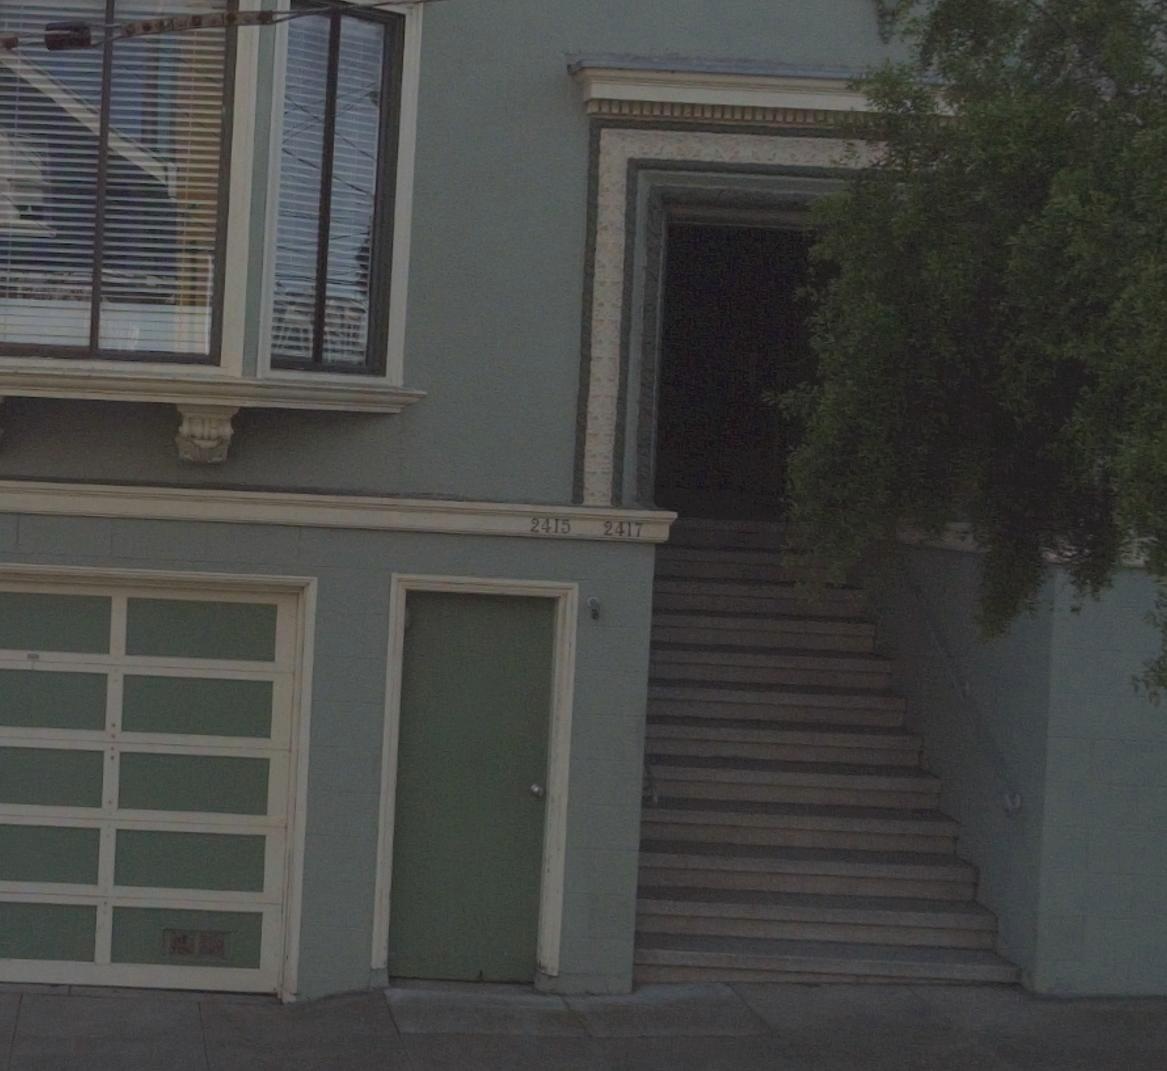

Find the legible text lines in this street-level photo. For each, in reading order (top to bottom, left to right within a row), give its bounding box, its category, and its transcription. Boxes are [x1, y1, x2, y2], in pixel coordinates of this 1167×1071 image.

[527, 515, 572, 536] StreetNumber: 2415
[598, 517, 649, 541] StreetNumber: 2417